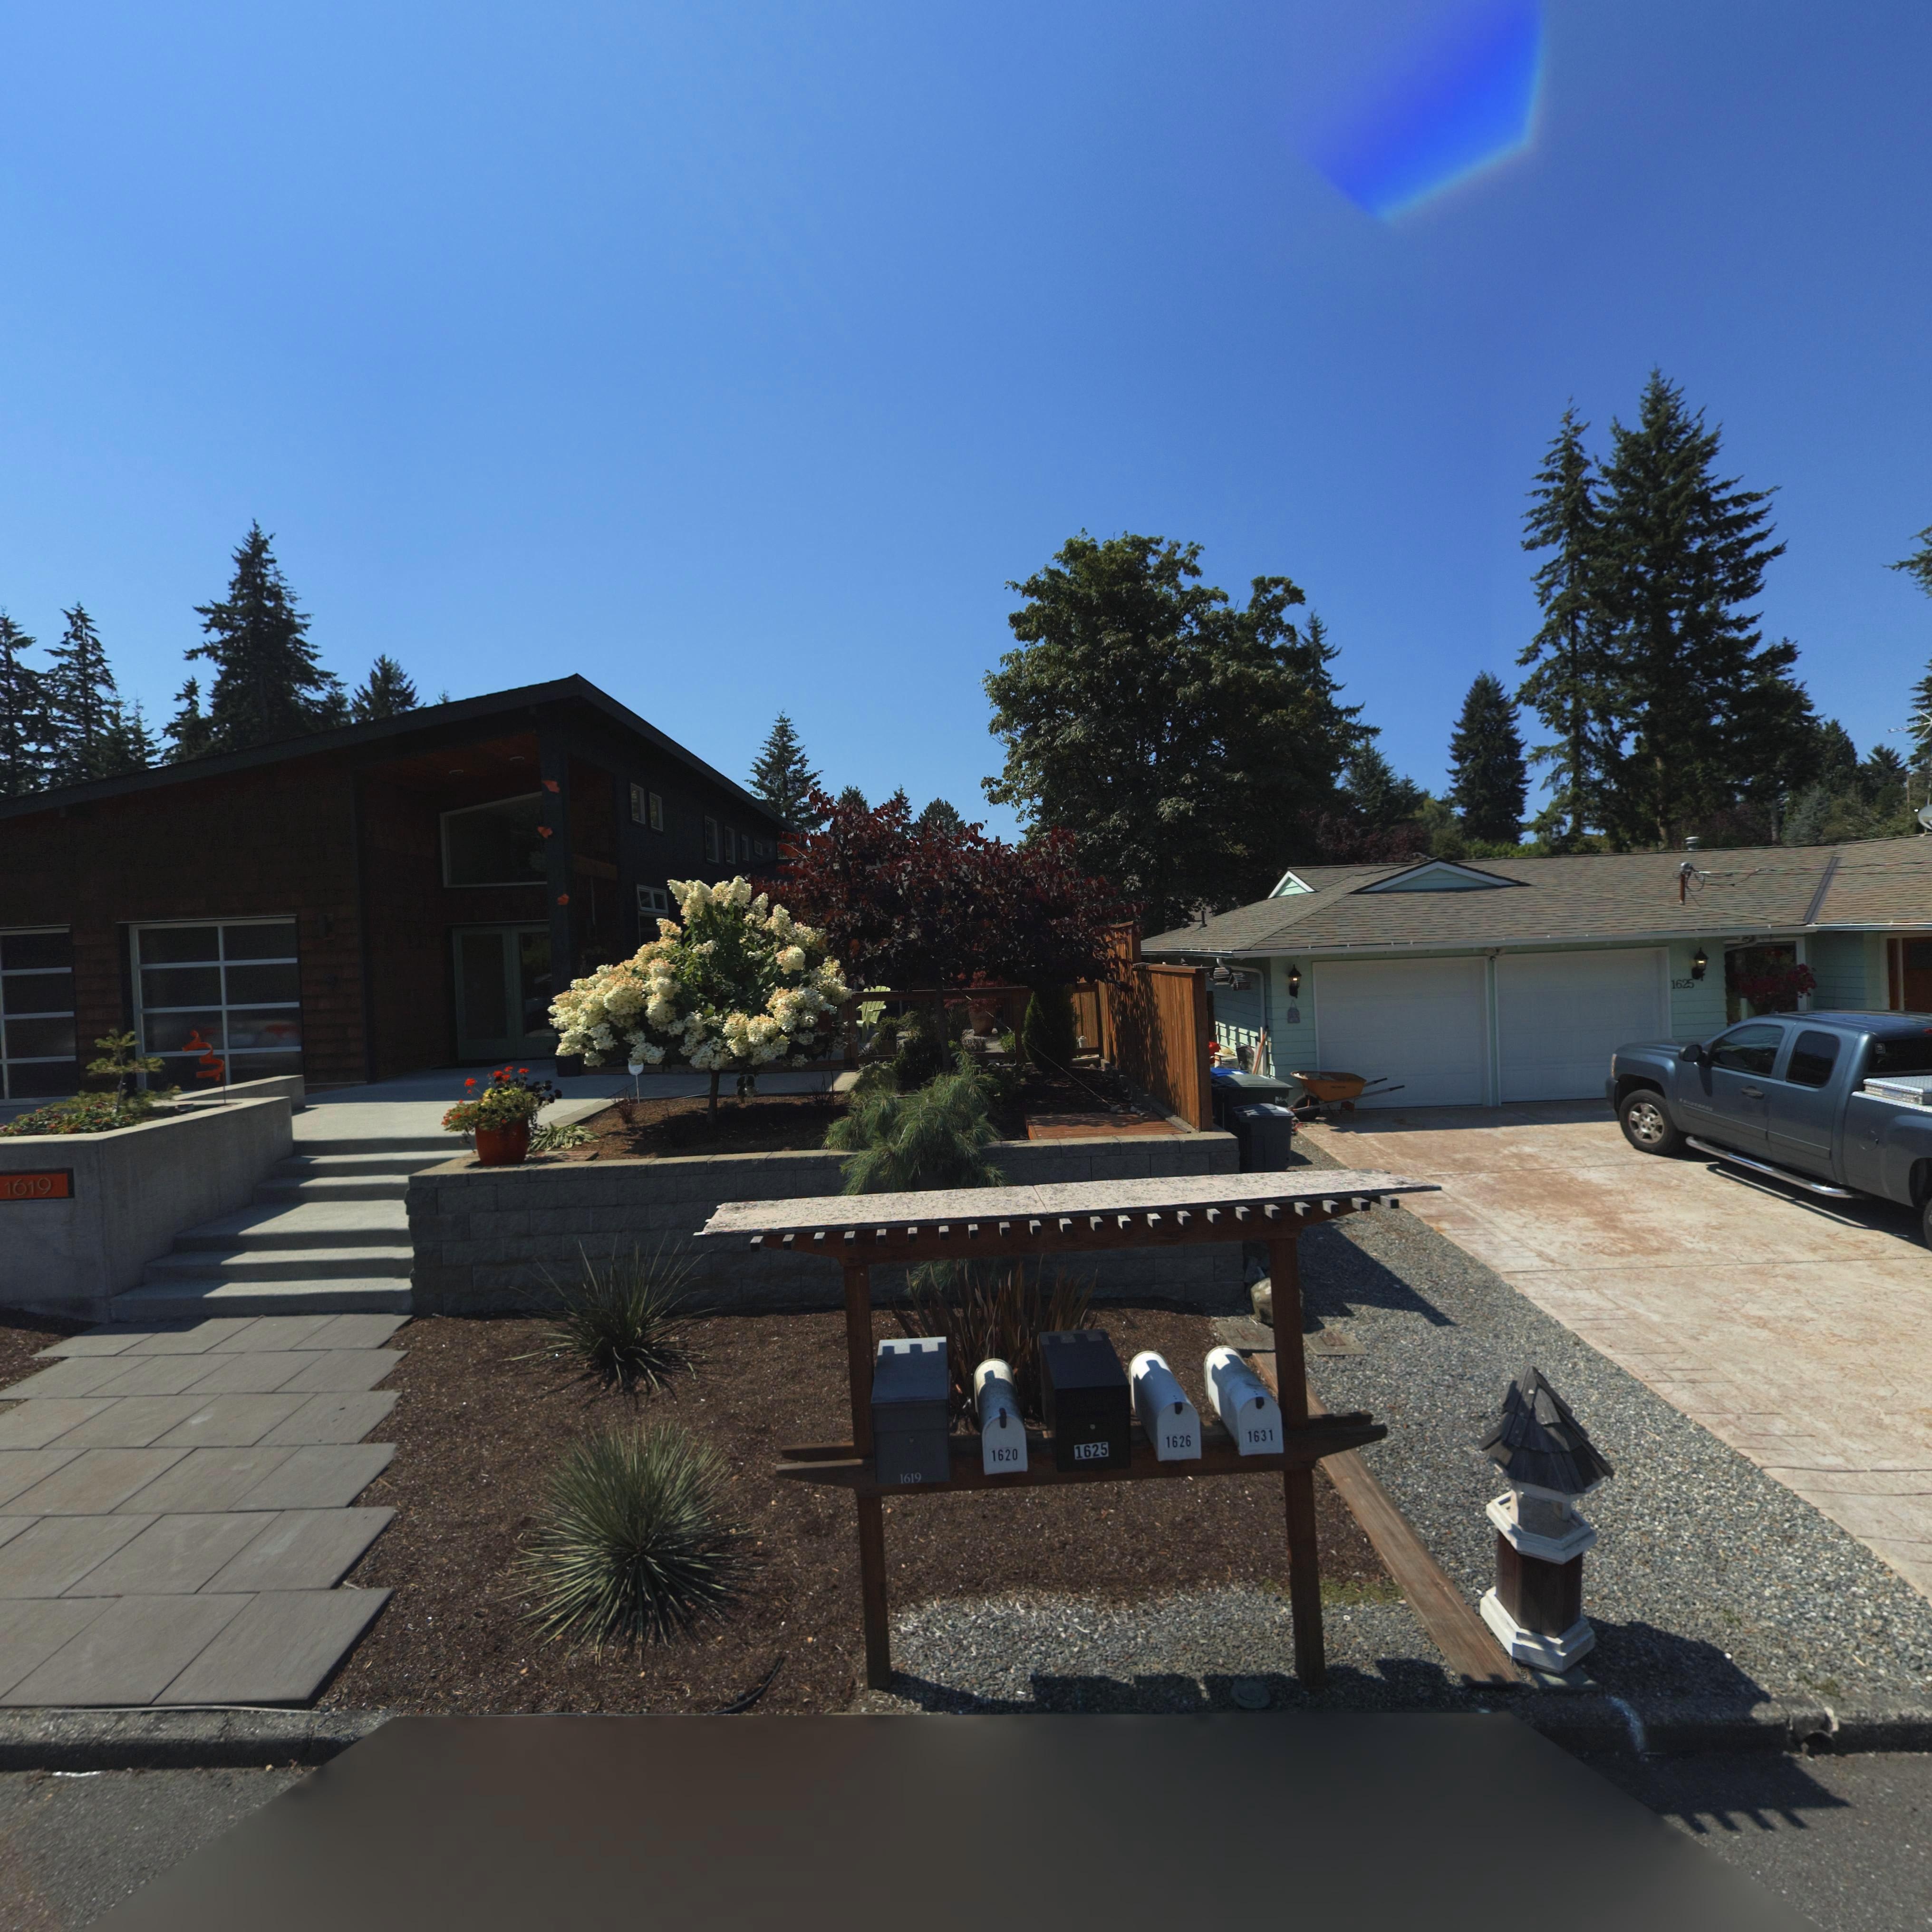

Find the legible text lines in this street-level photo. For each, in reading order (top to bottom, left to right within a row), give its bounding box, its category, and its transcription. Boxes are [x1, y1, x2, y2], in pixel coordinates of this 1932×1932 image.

[1670, 977, 1695, 988] StreetNumber: 1625
[4, 1176, 52, 1196] StreetNumber: 1619
[1165, 1434, 1192, 1449] StreetNumber: 1626
[1247, 1429, 1274, 1442] StreetNumber: 1631
[993, 1449, 1017, 1461] StreetNumber: 1620
[1074, 1442, 1108, 1459] StreetNumber: 1625
[899, 1472, 922, 1484] StreetNumber: 1619